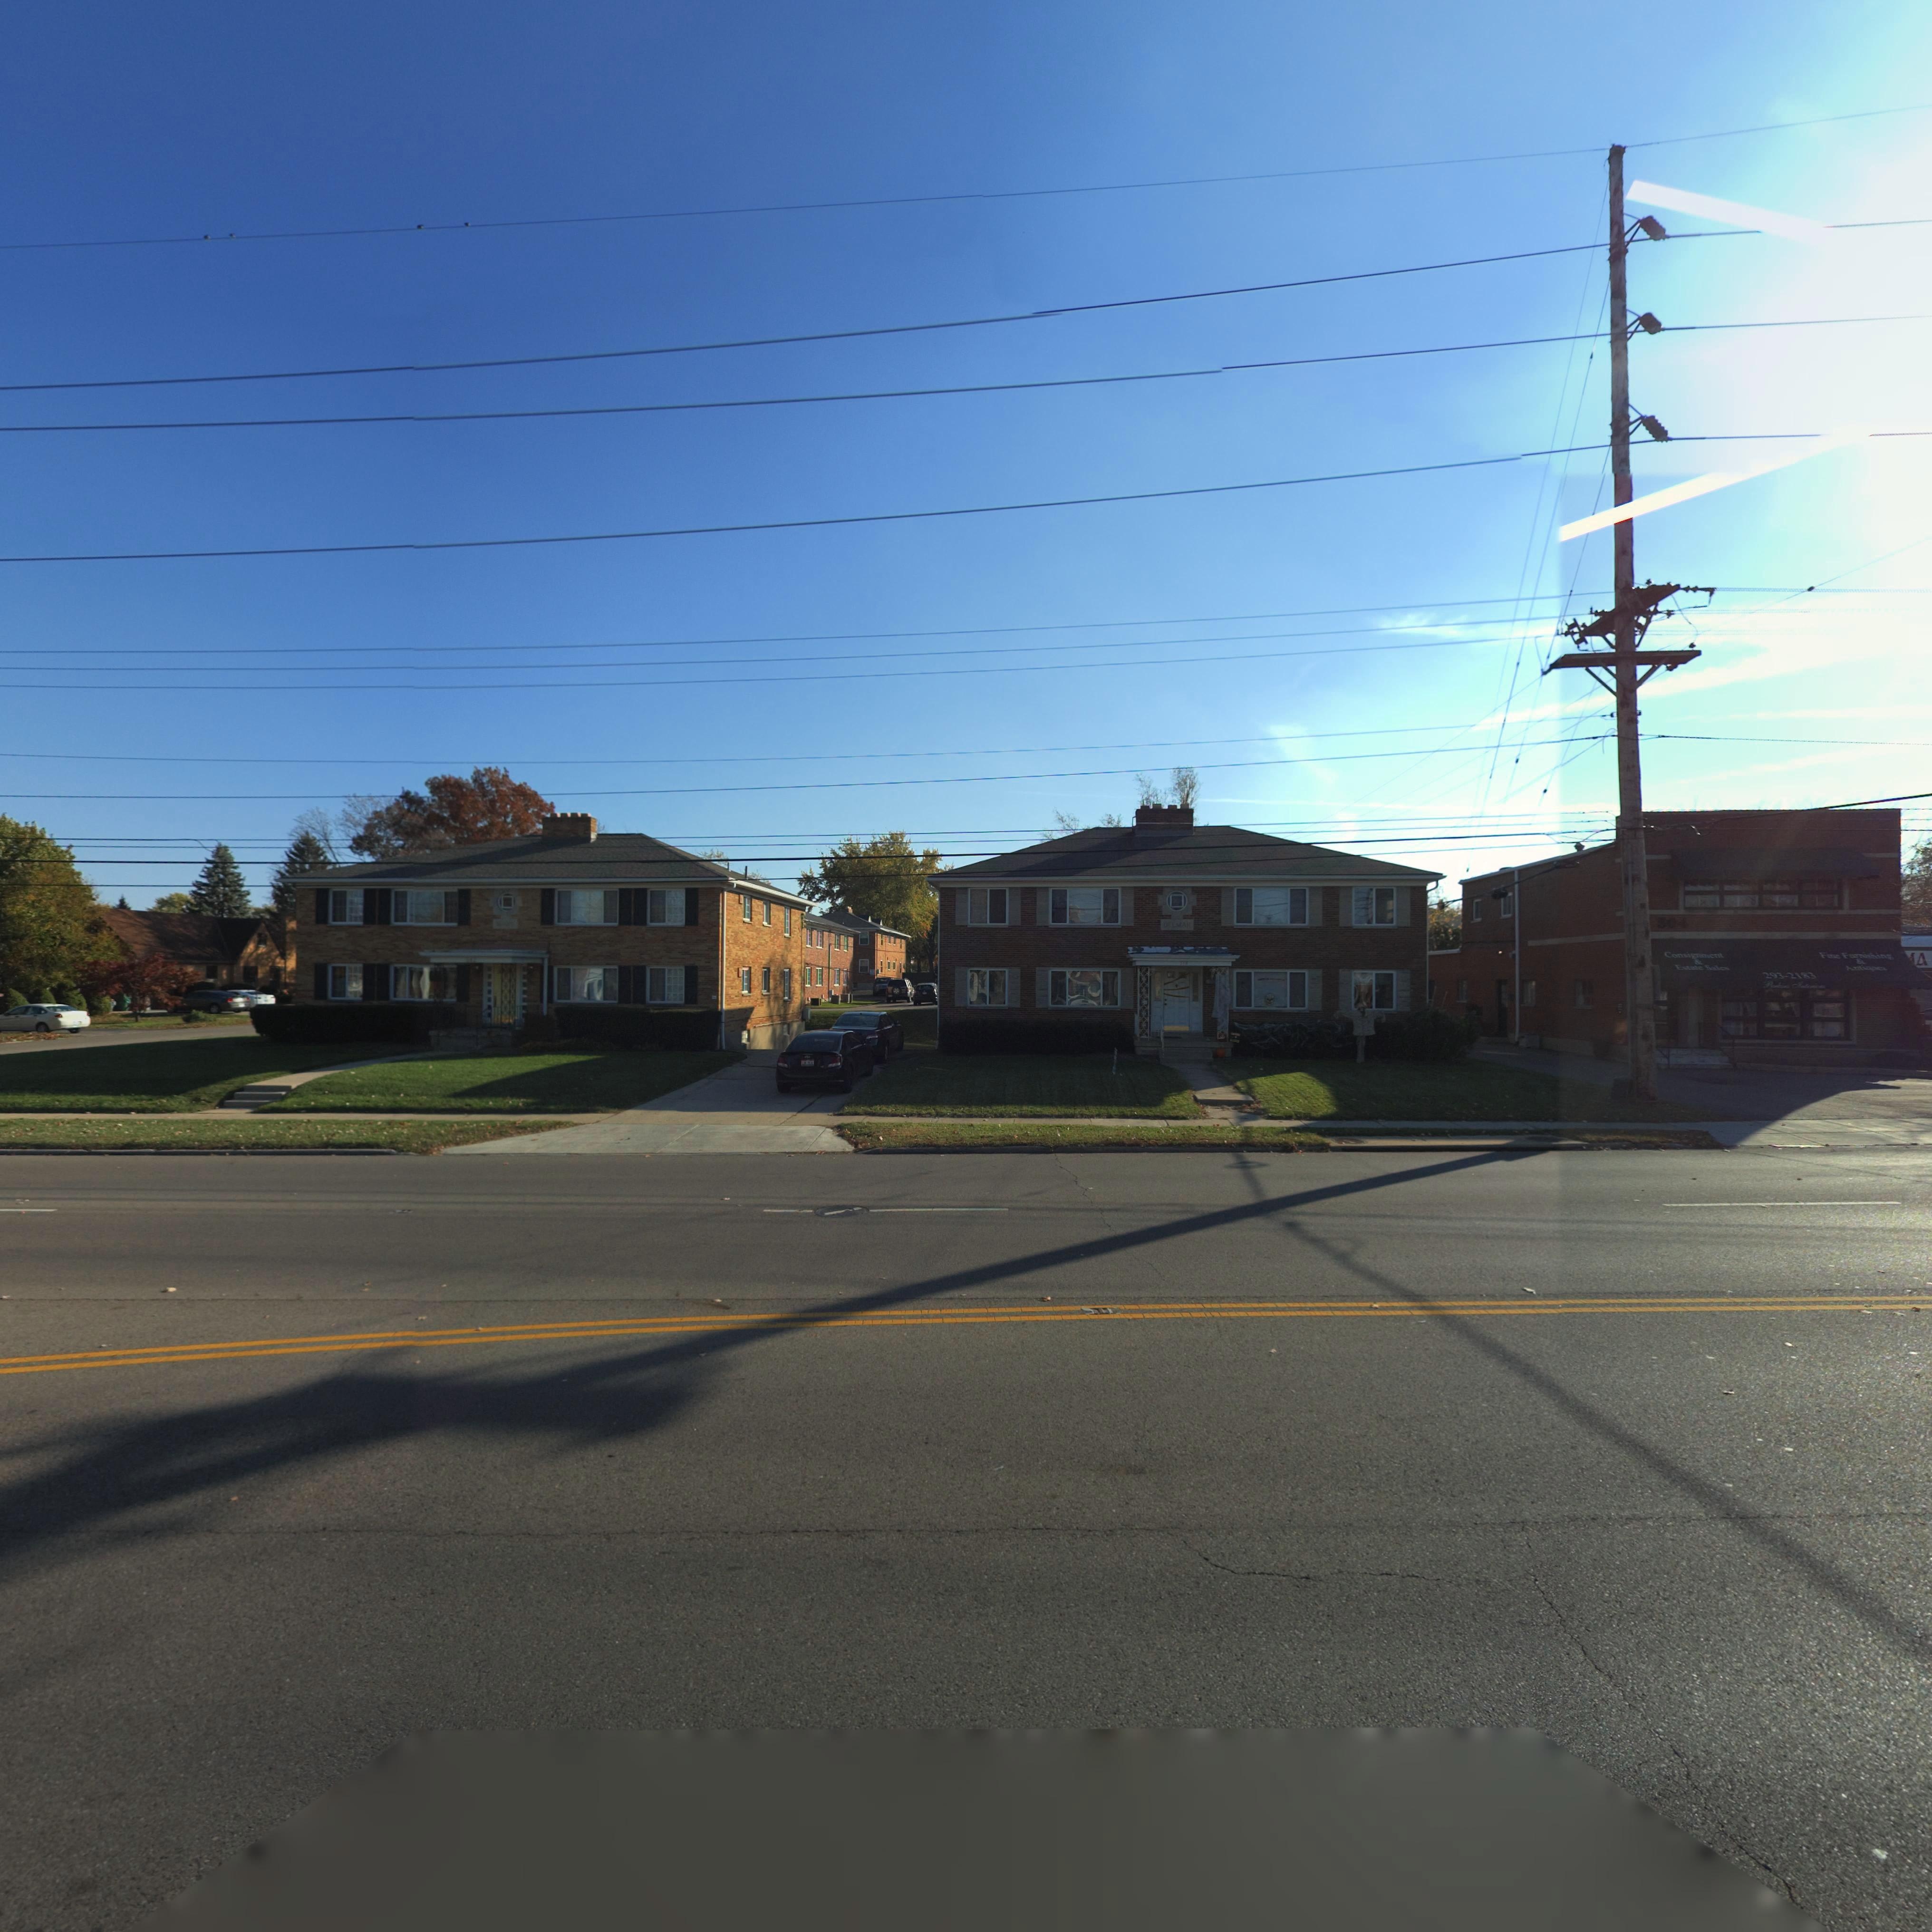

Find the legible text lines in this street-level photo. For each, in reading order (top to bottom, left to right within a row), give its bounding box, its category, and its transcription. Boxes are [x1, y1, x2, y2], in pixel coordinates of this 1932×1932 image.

[1656, 916, 1690, 929] StreetNumber: 504
[464, 956, 477, 963] StreetNumber: 542
[1179, 961, 1188, 966] StreetNumber: 5*8
[1914, 951, 1929, 966] BusinessName: A